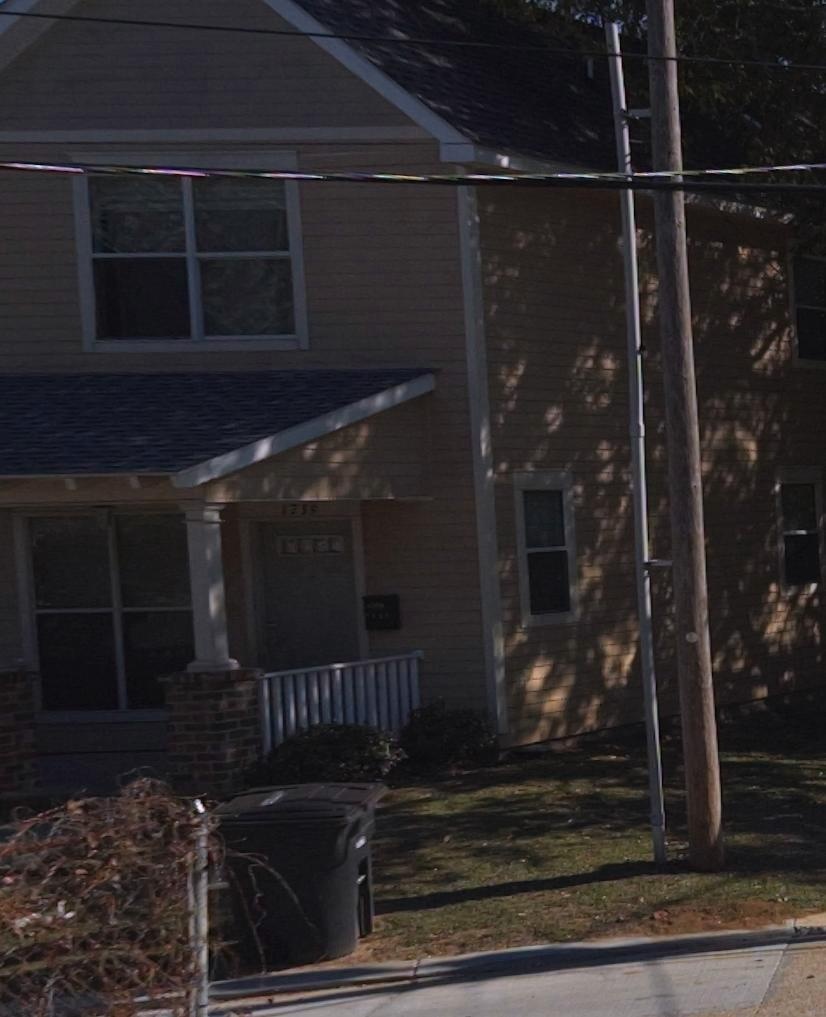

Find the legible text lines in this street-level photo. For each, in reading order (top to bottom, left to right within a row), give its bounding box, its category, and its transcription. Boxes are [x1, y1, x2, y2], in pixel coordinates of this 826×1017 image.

[280, 502, 321, 518] StreetNumber: 1739